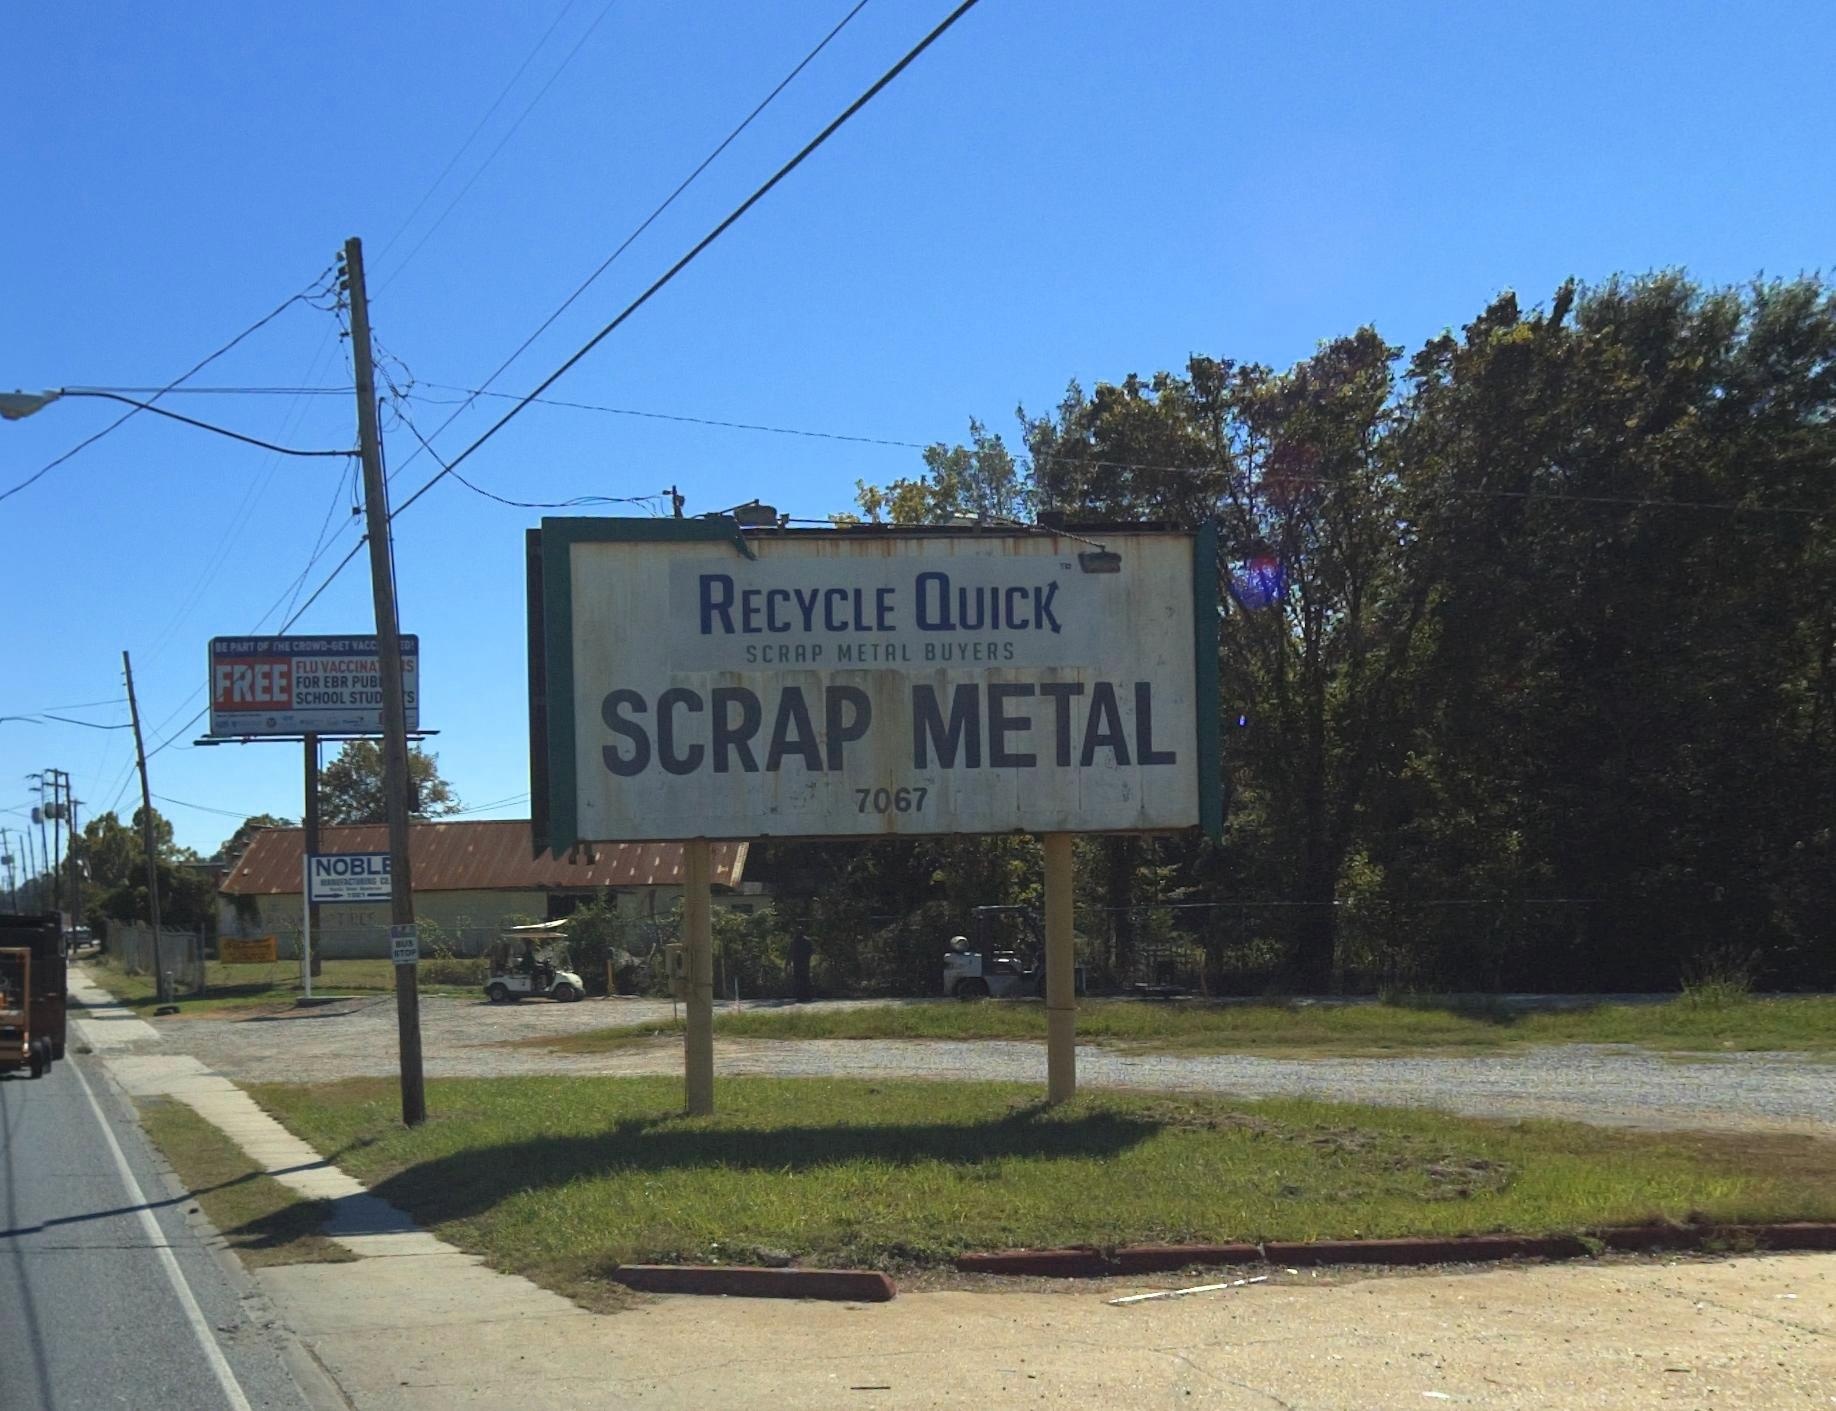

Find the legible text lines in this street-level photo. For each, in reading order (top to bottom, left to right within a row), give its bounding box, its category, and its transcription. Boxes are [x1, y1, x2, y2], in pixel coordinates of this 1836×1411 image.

[697, 571, 1065, 636] BusinessName: RECYCLE QUICK
[214, 638, 415, 654] None: BE PART OF THE CROWD-GET VACC *D!
[744, 641, 1016, 664] BusinessName: SCRAP METAL BUYERS
[294, 659, 415, 675] None: FLU VACCINA S
[214, 662, 289, 704] None: FREE
[295, 674, 380, 690] None: FOR EBR PUB
[295, 690, 416, 706] None: SCHOOL STUD S
[599, 680, 1178, 779] None: SCRAP METAL
[852, 786, 930, 814] StreetNumber: 7067
[314, 856, 391, 877] BusinessName: NOBLE
[335, 909, 376, 928] None: T**ES
[395, 938, 415, 948] None: BUS
[393, 947, 417, 959] None: STOP